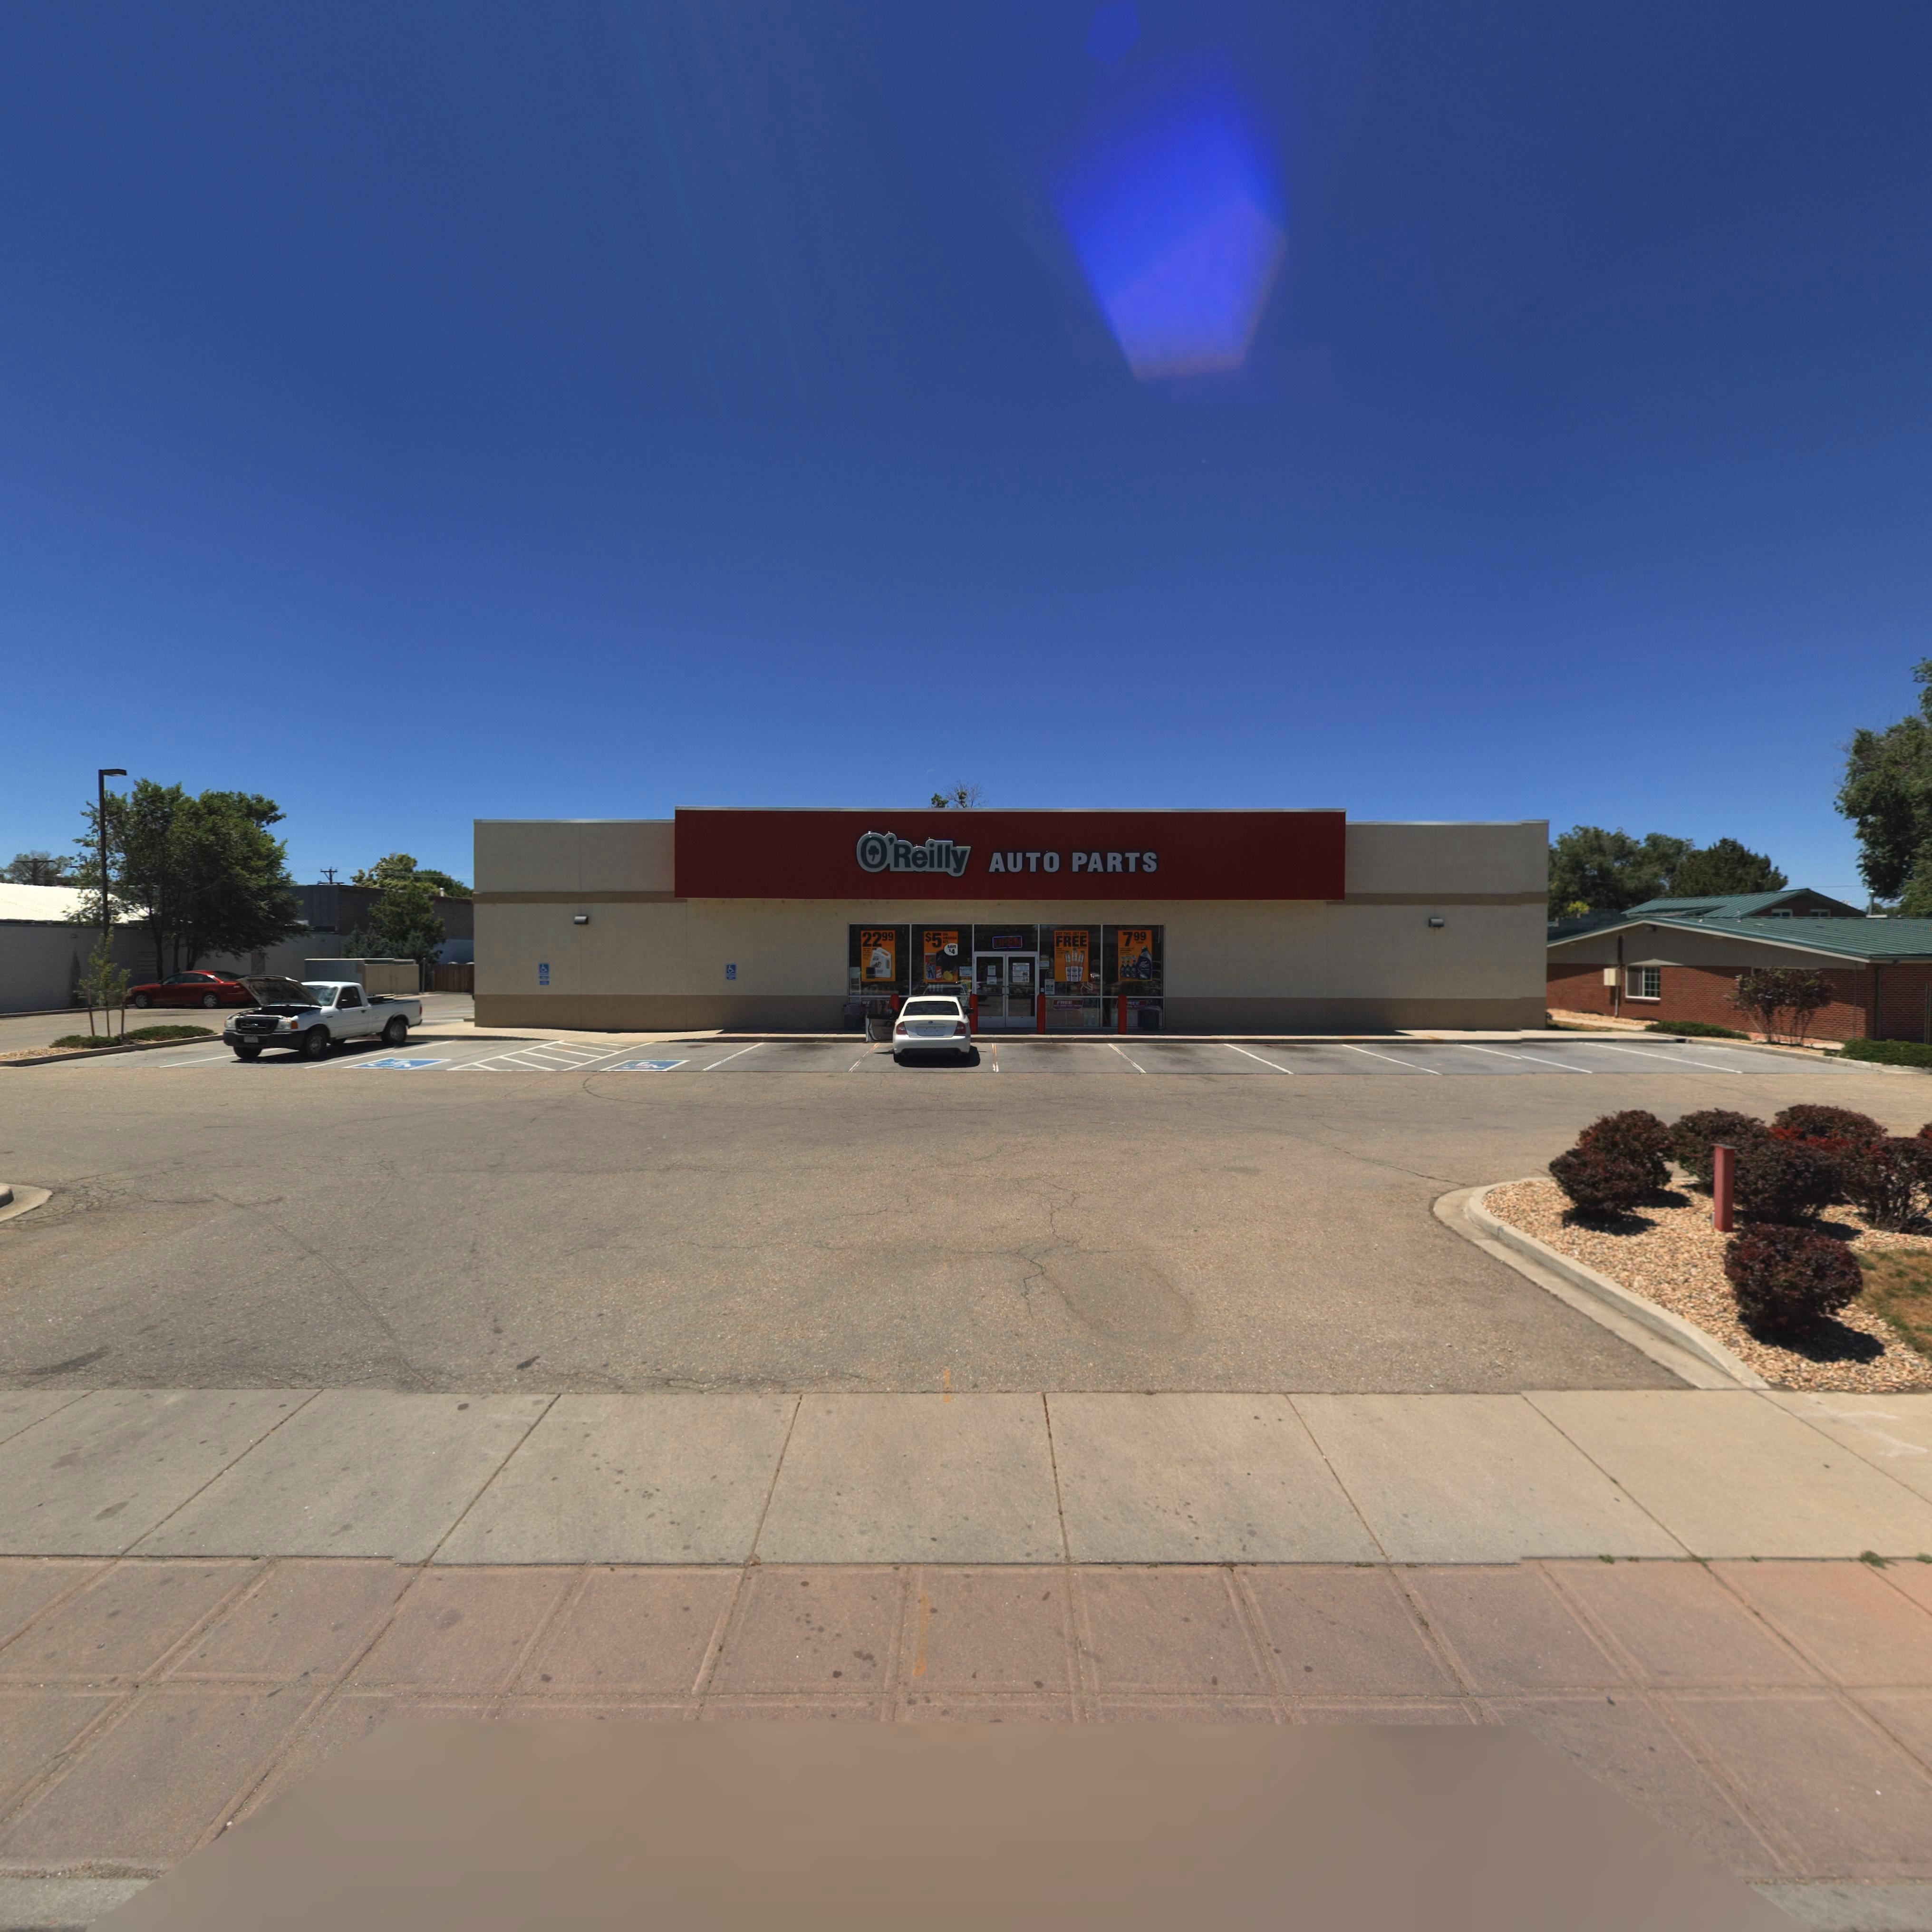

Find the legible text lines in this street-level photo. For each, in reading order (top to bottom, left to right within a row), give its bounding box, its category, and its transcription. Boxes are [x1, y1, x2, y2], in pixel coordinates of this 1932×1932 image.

[855, 829, 973, 878] BusinessName: O'Reilly
[986, 850, 1159, 873] BusinessName: AUTO PARTS